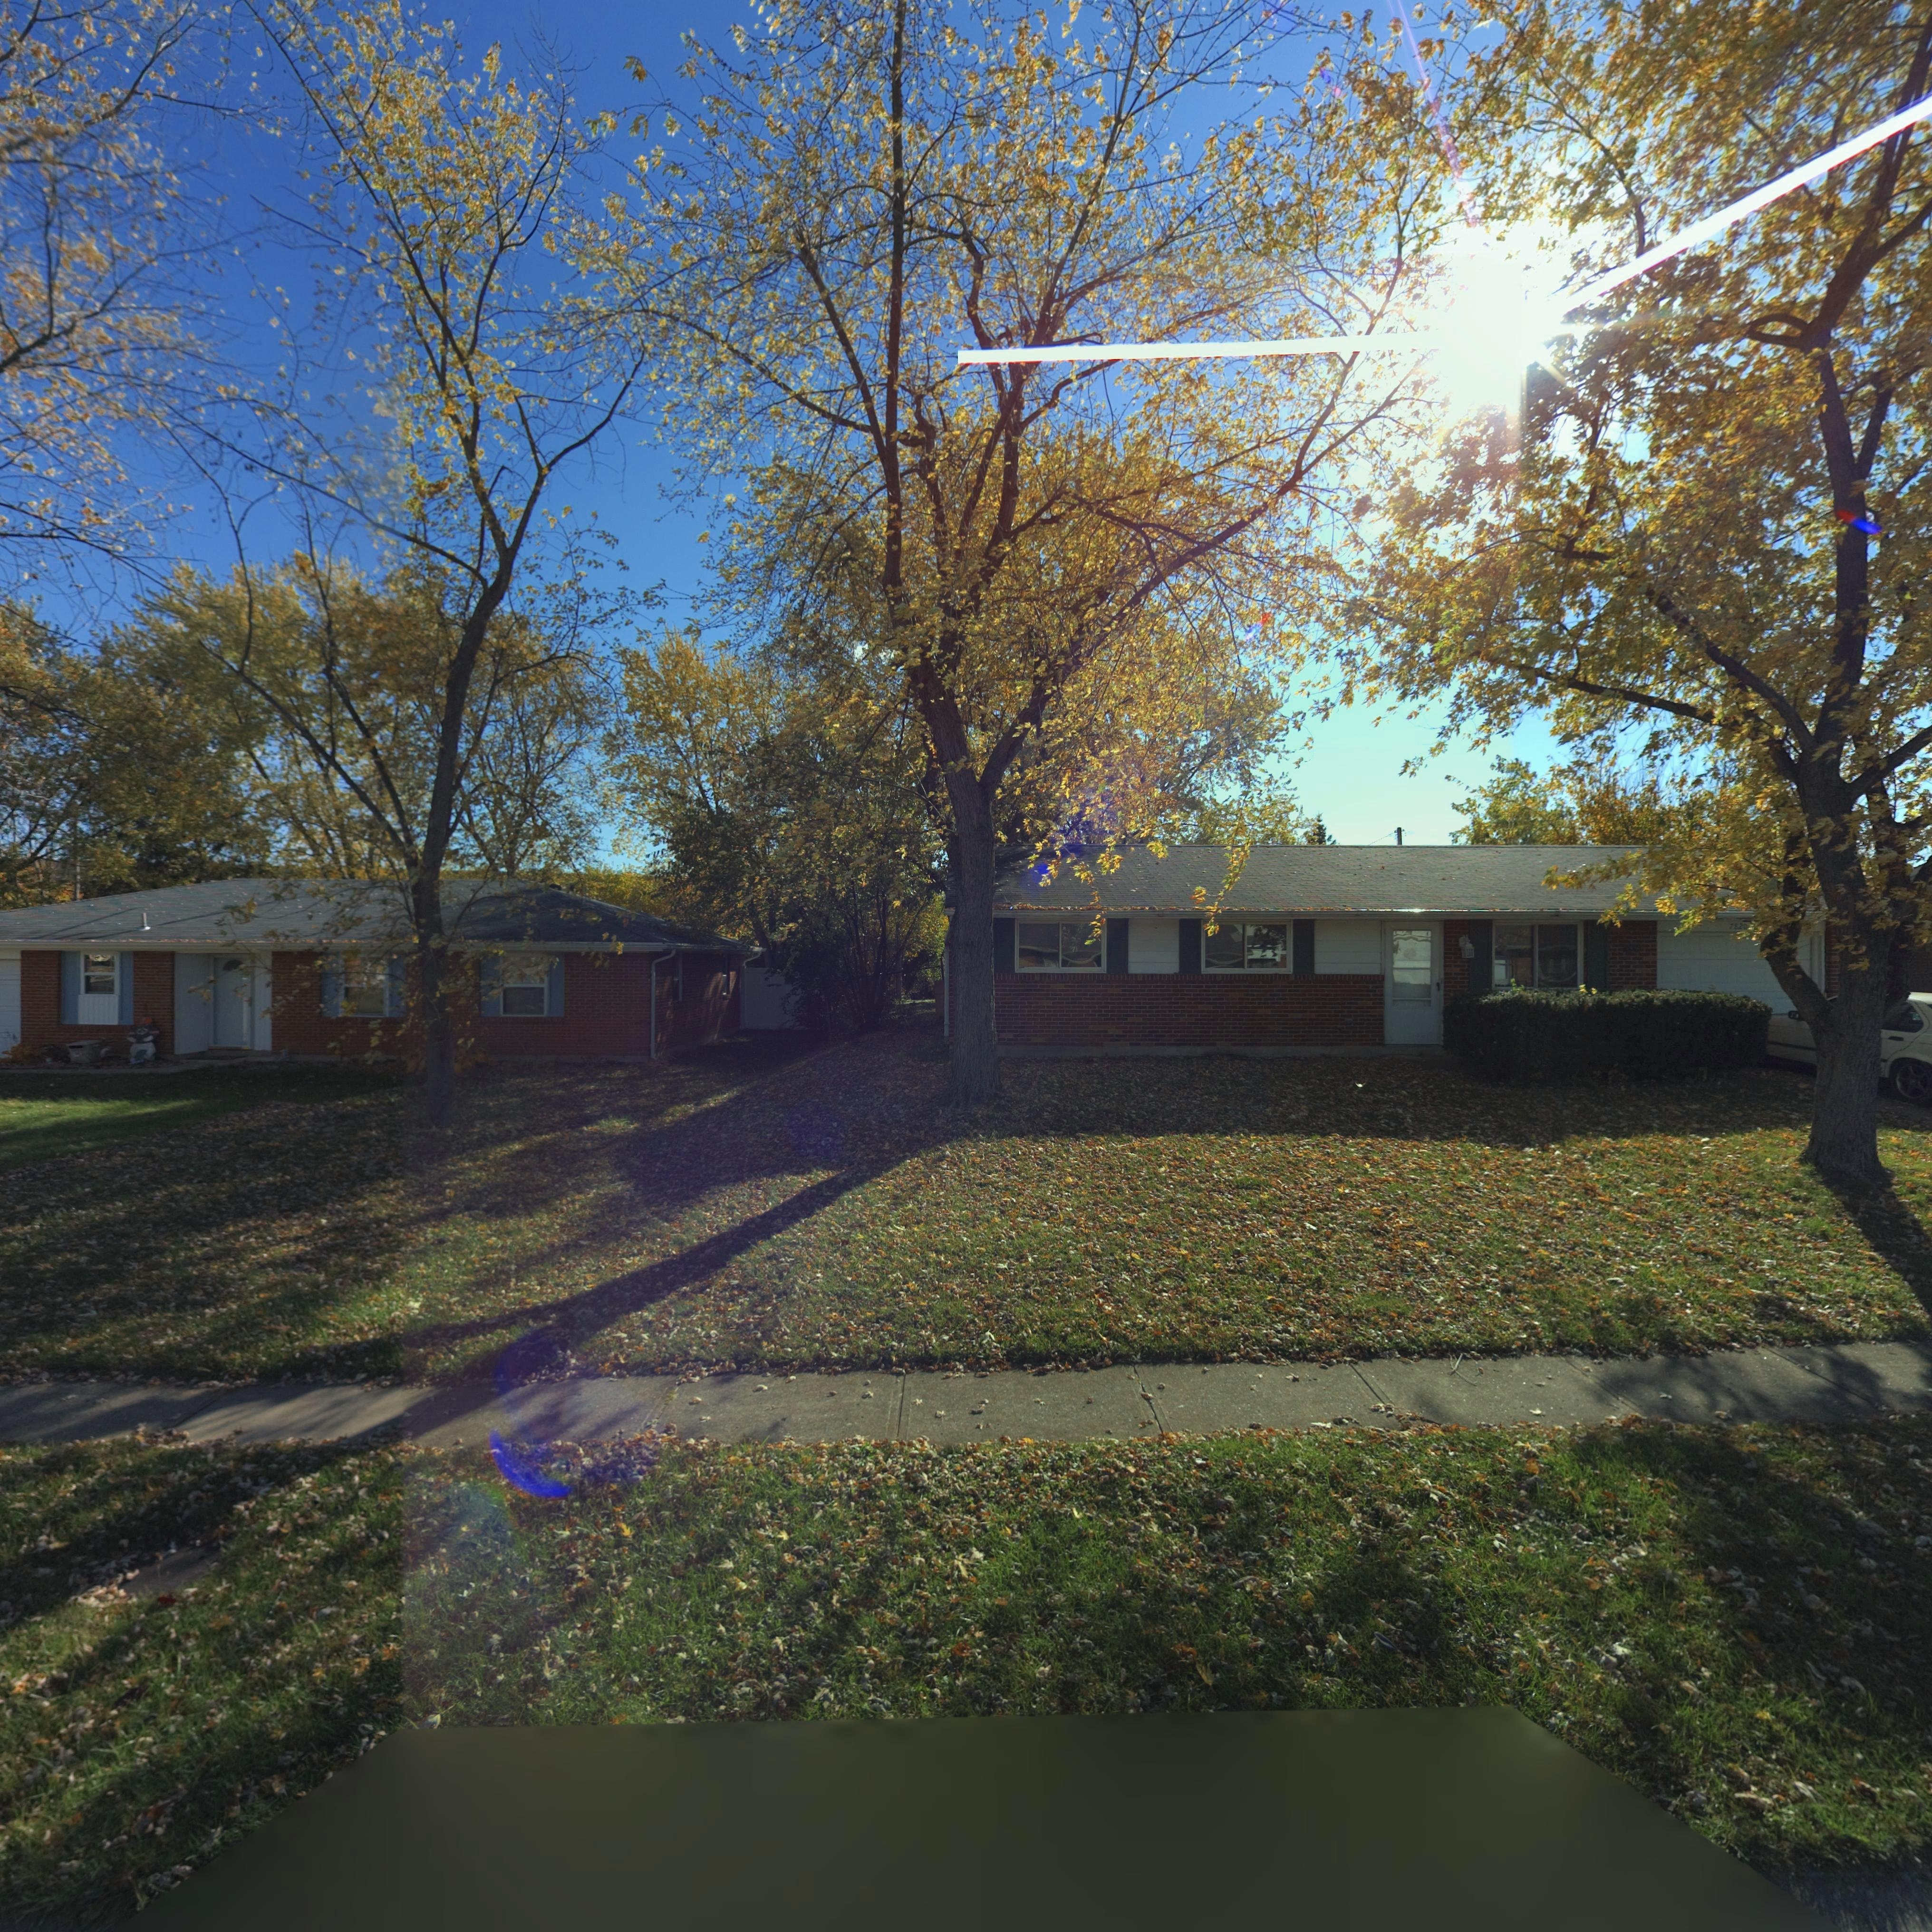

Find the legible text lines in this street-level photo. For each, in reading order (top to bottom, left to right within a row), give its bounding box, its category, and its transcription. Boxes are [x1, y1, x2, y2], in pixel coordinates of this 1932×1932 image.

[1729, 922, 1749, 930] StreetNumber: 7820